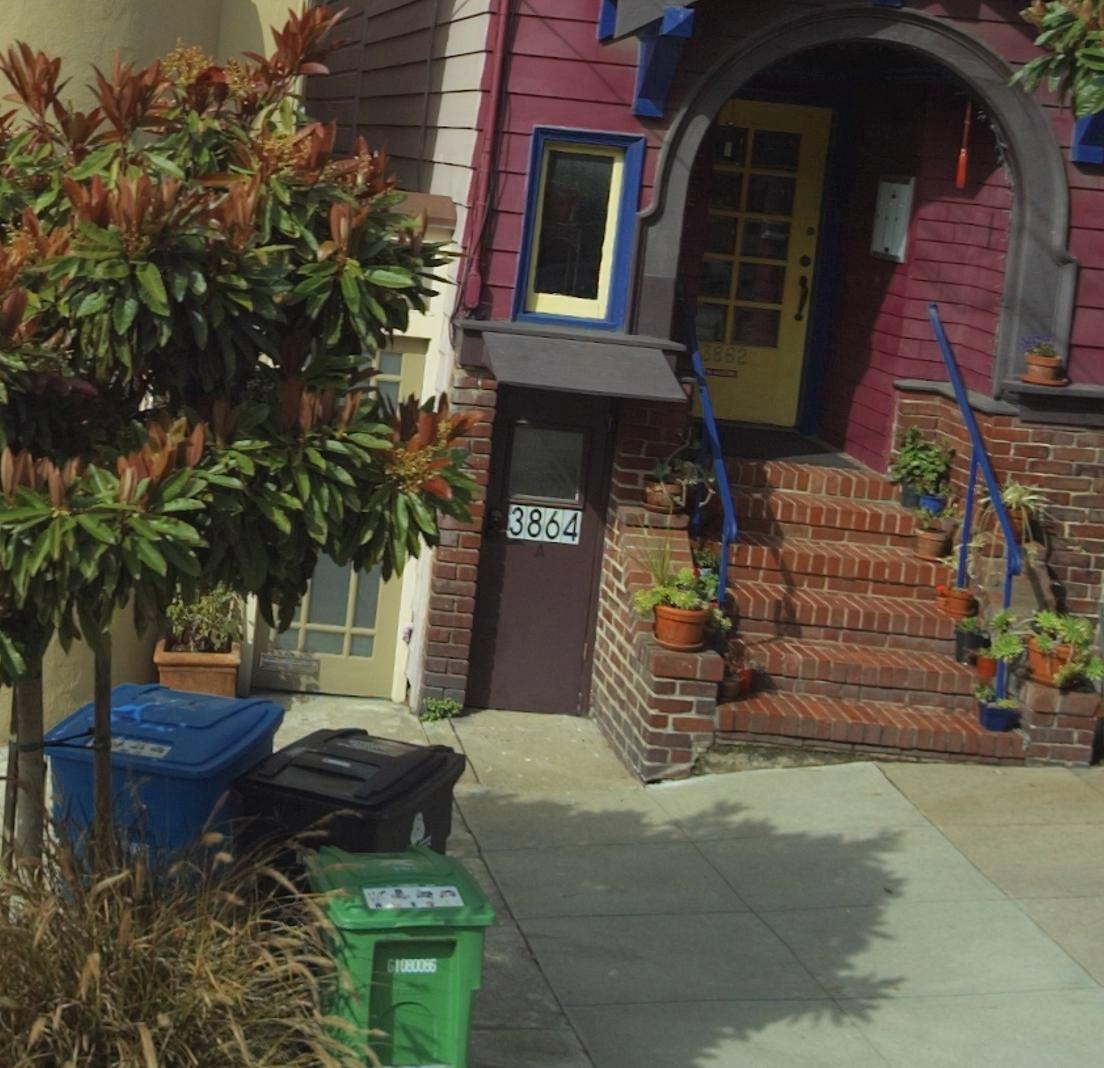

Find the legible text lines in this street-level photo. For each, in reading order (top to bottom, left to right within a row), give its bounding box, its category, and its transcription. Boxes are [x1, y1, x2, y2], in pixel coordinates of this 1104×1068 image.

[702, 344, 750, 366] StreetNumber: 3862
[705, 368, 737, 377] None: NO SOLICITING
[509, 506, 581, 542] StreetNumber: 3864
[386, 957, 439, 974] None: G1080066